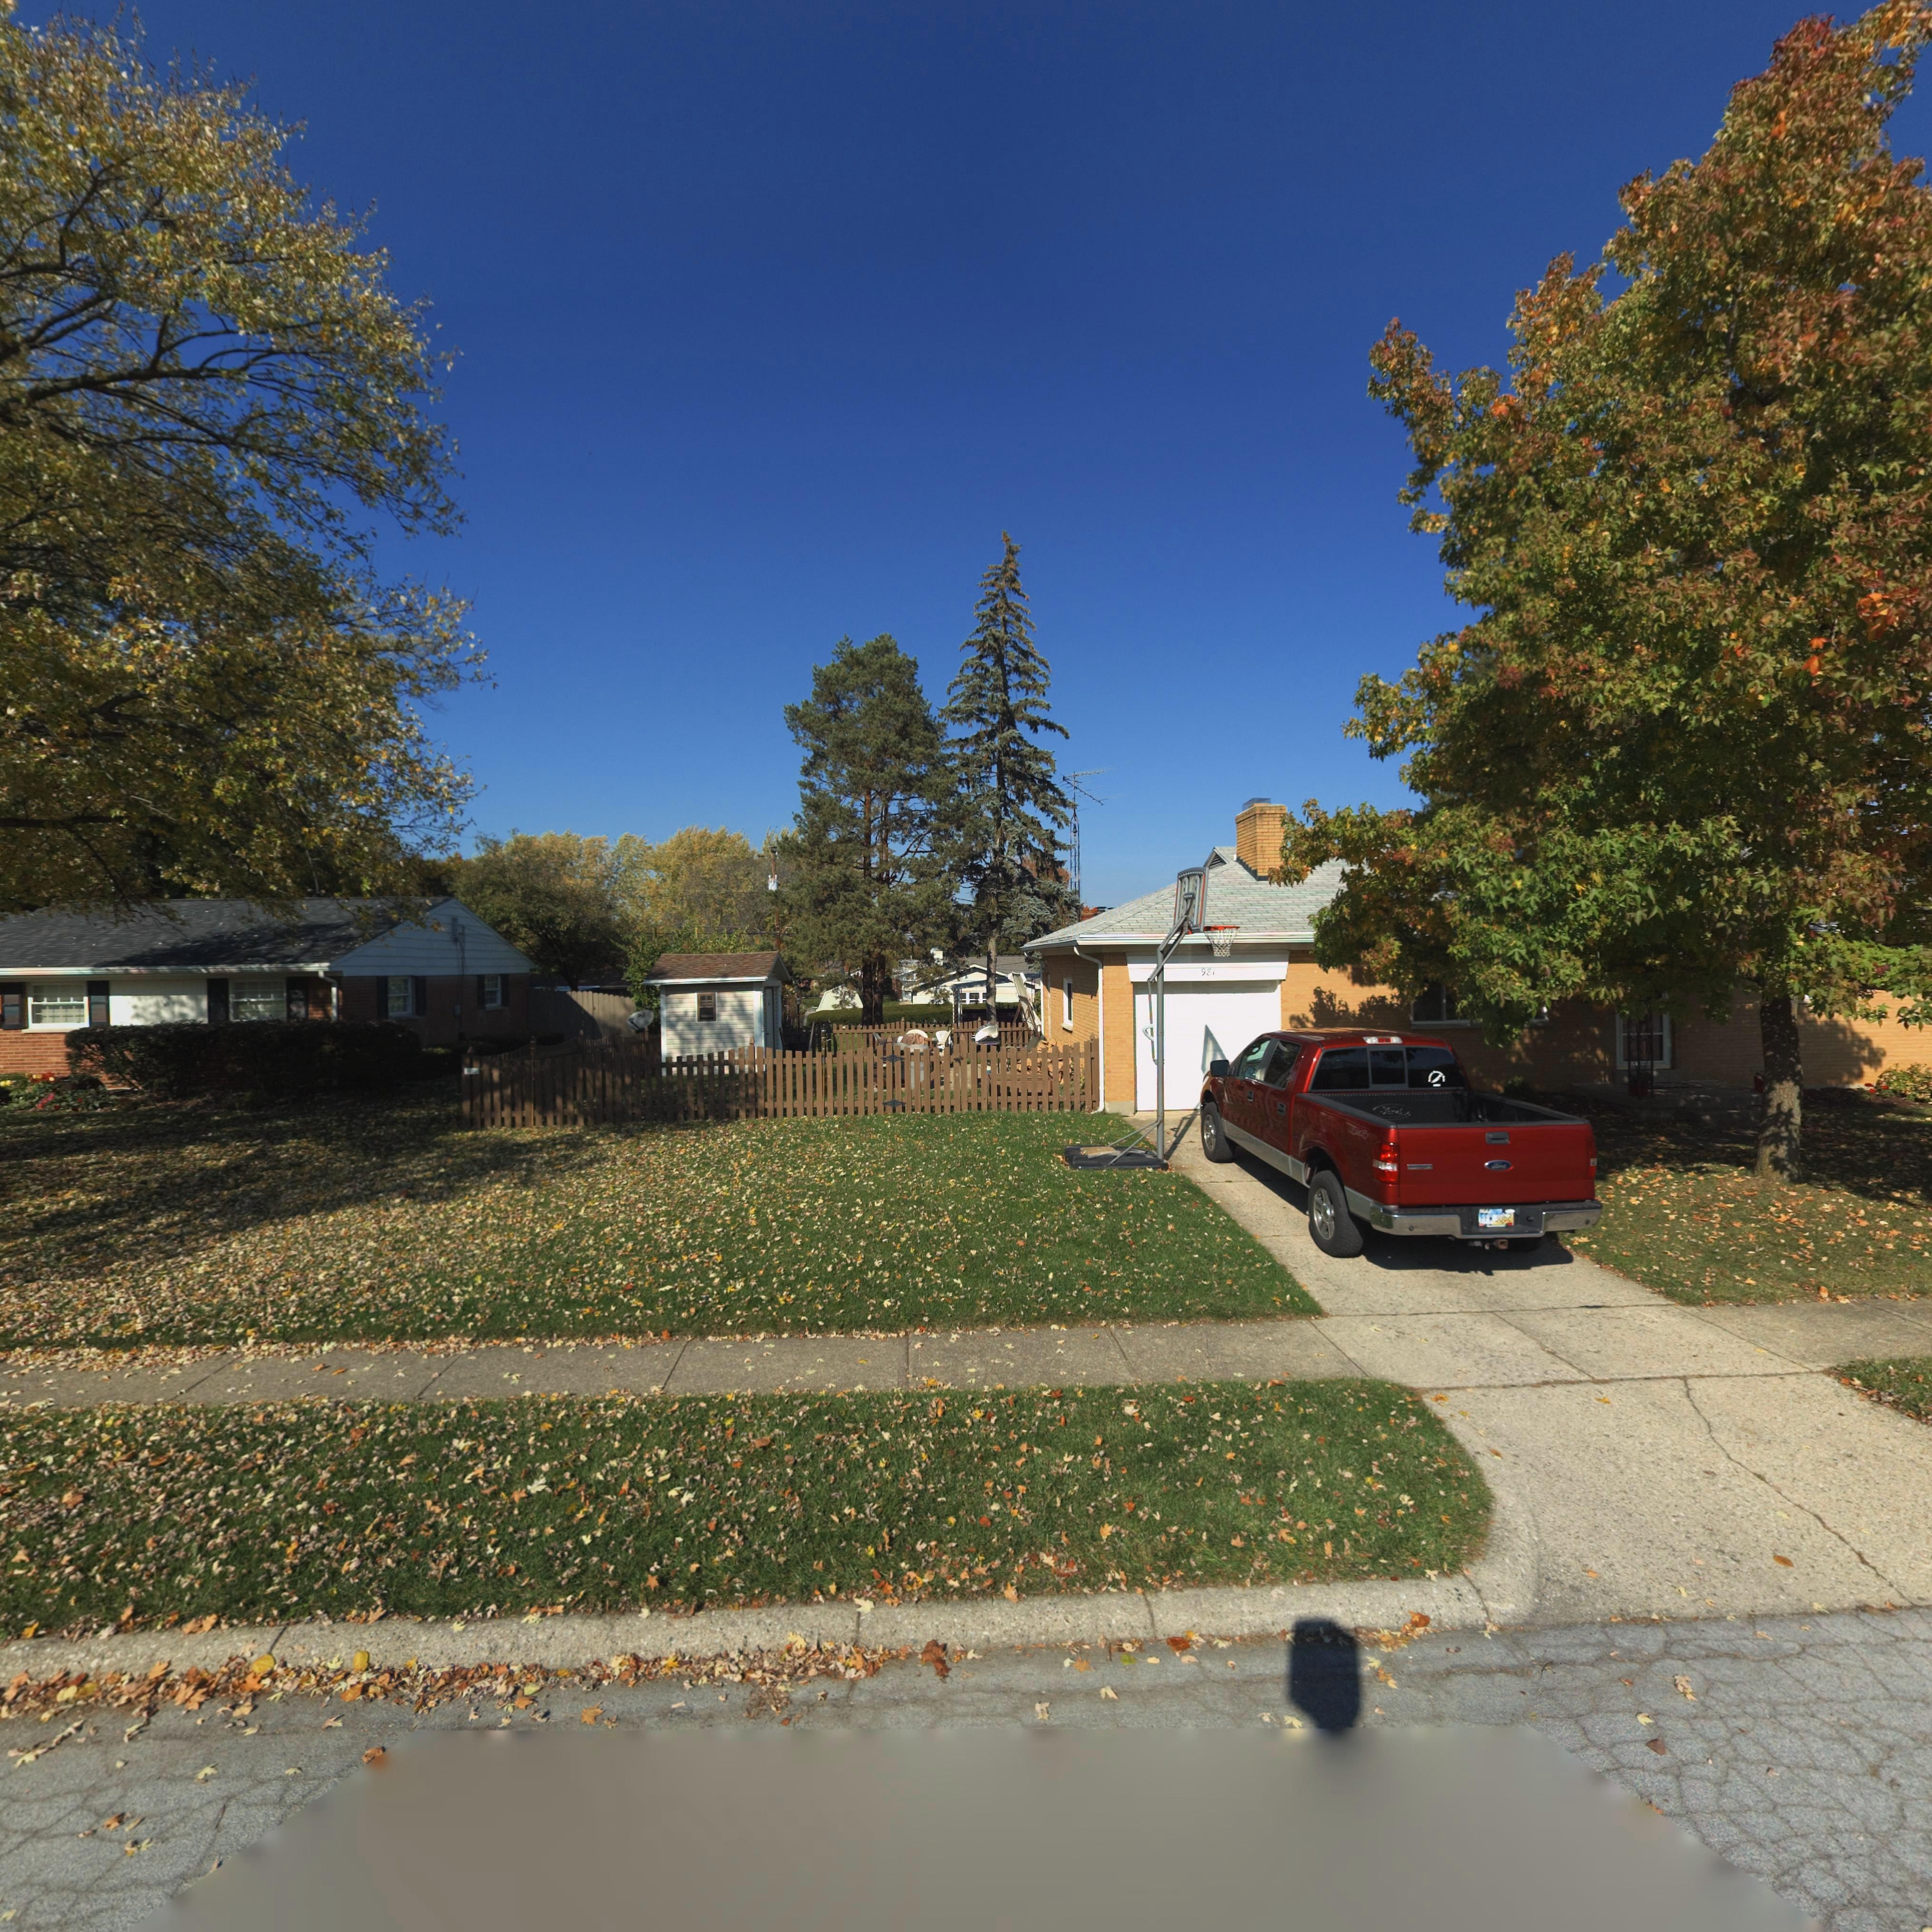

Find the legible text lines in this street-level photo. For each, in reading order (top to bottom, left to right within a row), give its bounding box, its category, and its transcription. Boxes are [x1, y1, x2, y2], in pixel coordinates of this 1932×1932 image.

[1200, 966, 1218, 977] StreetNumber: 98*
[1345, 1123, 1371, 1141] None: 4*4
[1478, 1211, 1514, 1224] None: FFW 3062